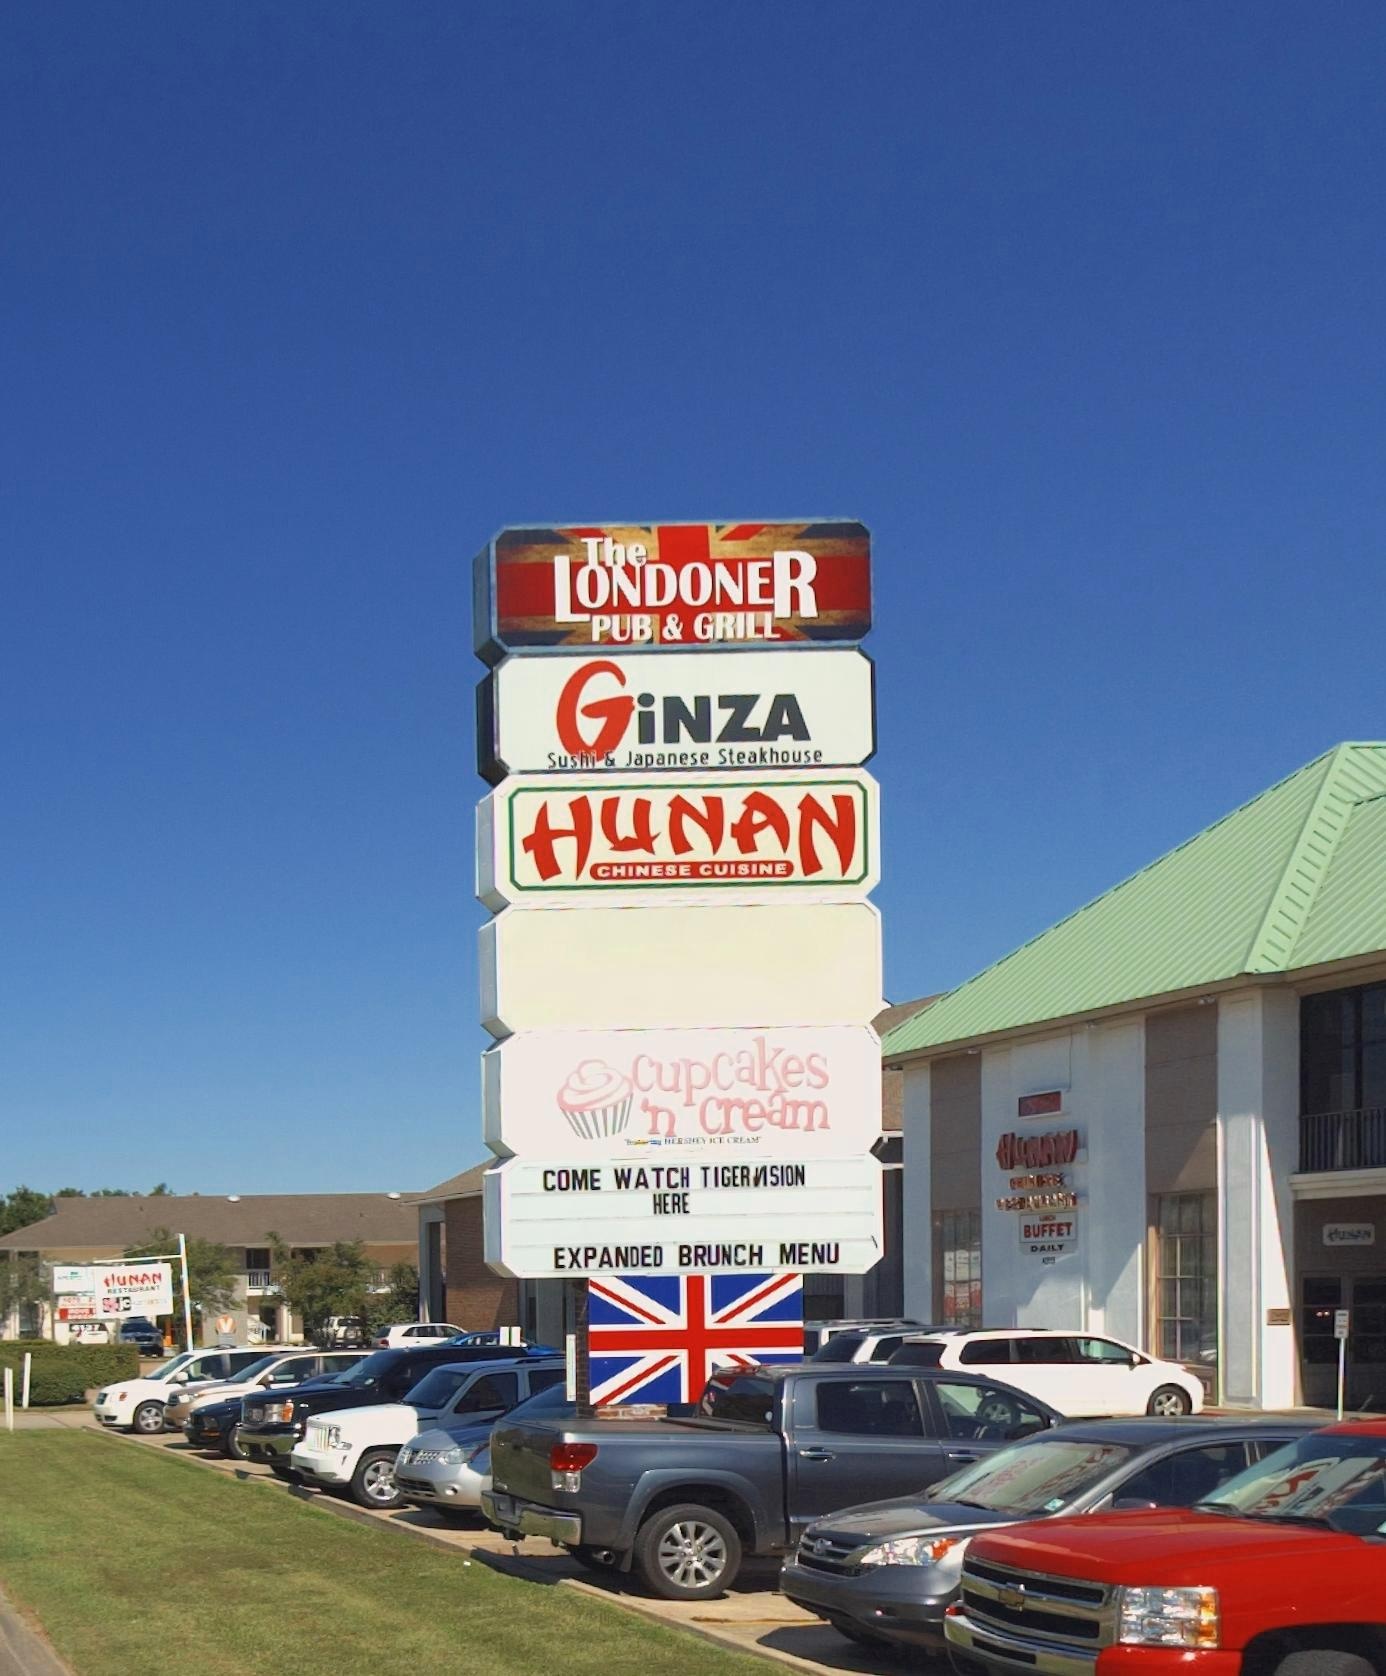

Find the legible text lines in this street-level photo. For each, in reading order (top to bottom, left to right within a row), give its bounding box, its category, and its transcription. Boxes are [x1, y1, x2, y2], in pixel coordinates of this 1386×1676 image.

[575, 535, 649, 569] BusinessName: The
[552, 547, 822, 626] BusinessName: LONDONER
[590, 609, 783, 644] BusinessName: PUB & GRILL
[552, 656, 817, 766] BusinessName: GiNZA
[545, 745, 825, 773] BusinessName: Sushi & Japanese Steakhouse
[518, 789, 860, 885] BusinessName: HUNAN
[593, 860, 790, 880] BusinessName: CHINESE CUISINE
[630, 1031, 833, 1112] BusinessName: Cupcakes
[635, 1088, 837, 1141] BusinessName: 'n cream
[993, 1124, 1080, 1175] BusinessName: HU*AN
[539, 1160, 808, 1196] None: COME WATCH TIGER*SION
[650, 1190, 693, 1218] None: HERE
[1021, 1218, 1075, 1241] None: BUFFET
[551, 1238, 842, 1273] None: EXPANDED BRUNCH MENU
[1027, 1240, 1067, 1256] None: DAILY
[99, 1269, 166, 1290] BusinessName: *UNAN
[115, 1295, 133, 1314] None: jc